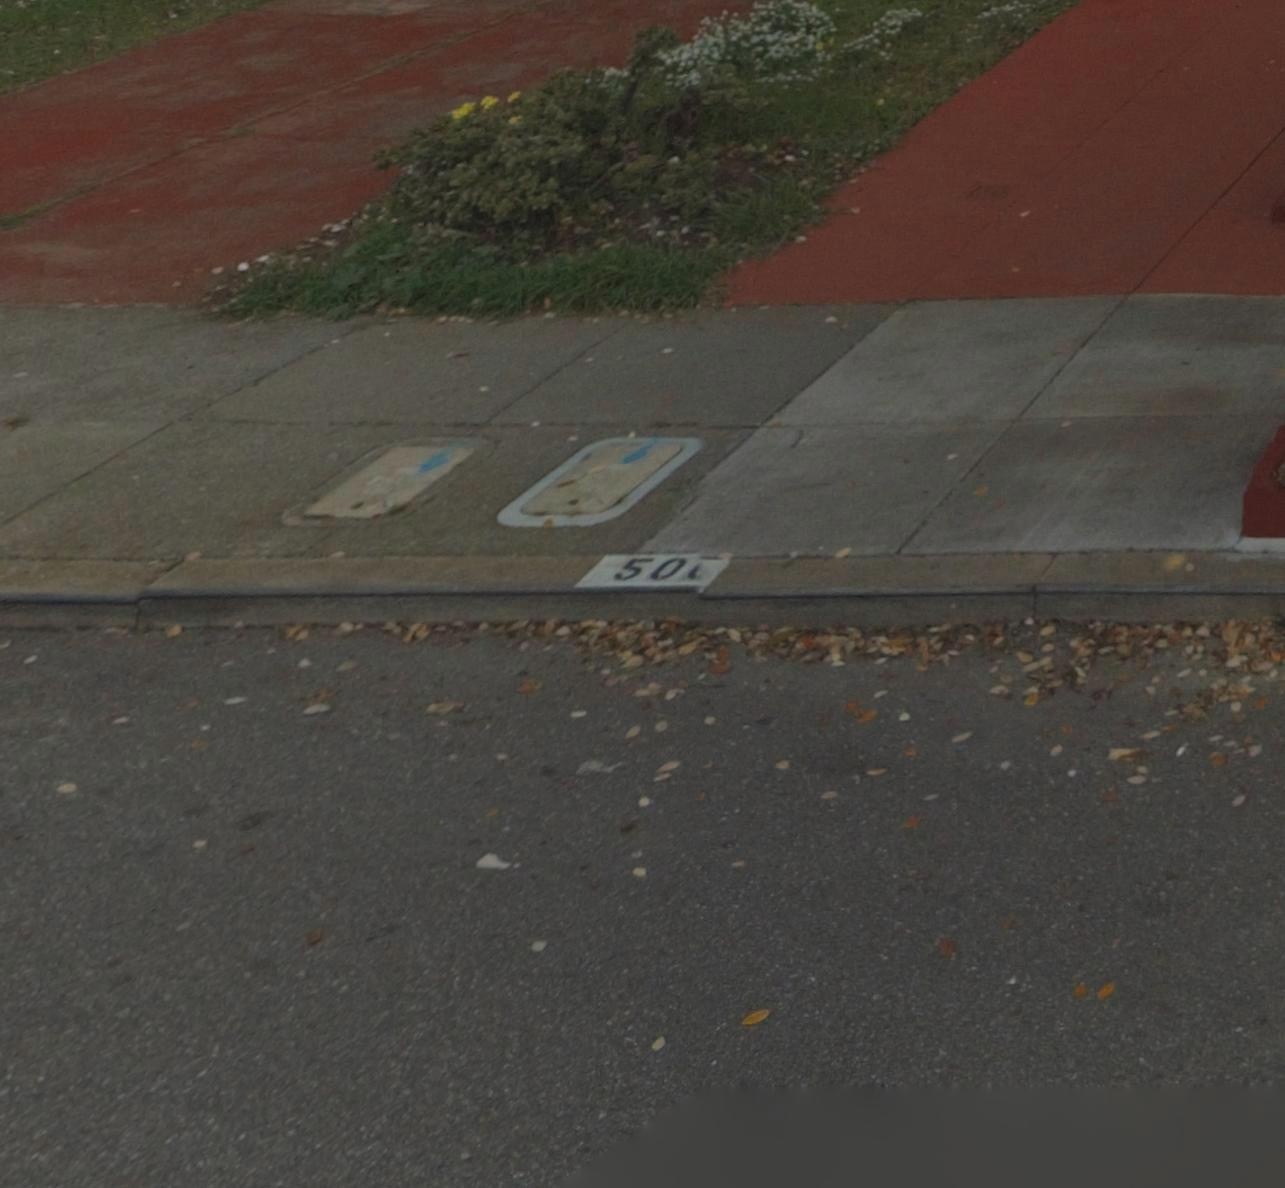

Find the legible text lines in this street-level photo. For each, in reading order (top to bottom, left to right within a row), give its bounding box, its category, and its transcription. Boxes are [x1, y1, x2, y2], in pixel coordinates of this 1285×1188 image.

[607, 557, 729, 582] StreetNumber: 500